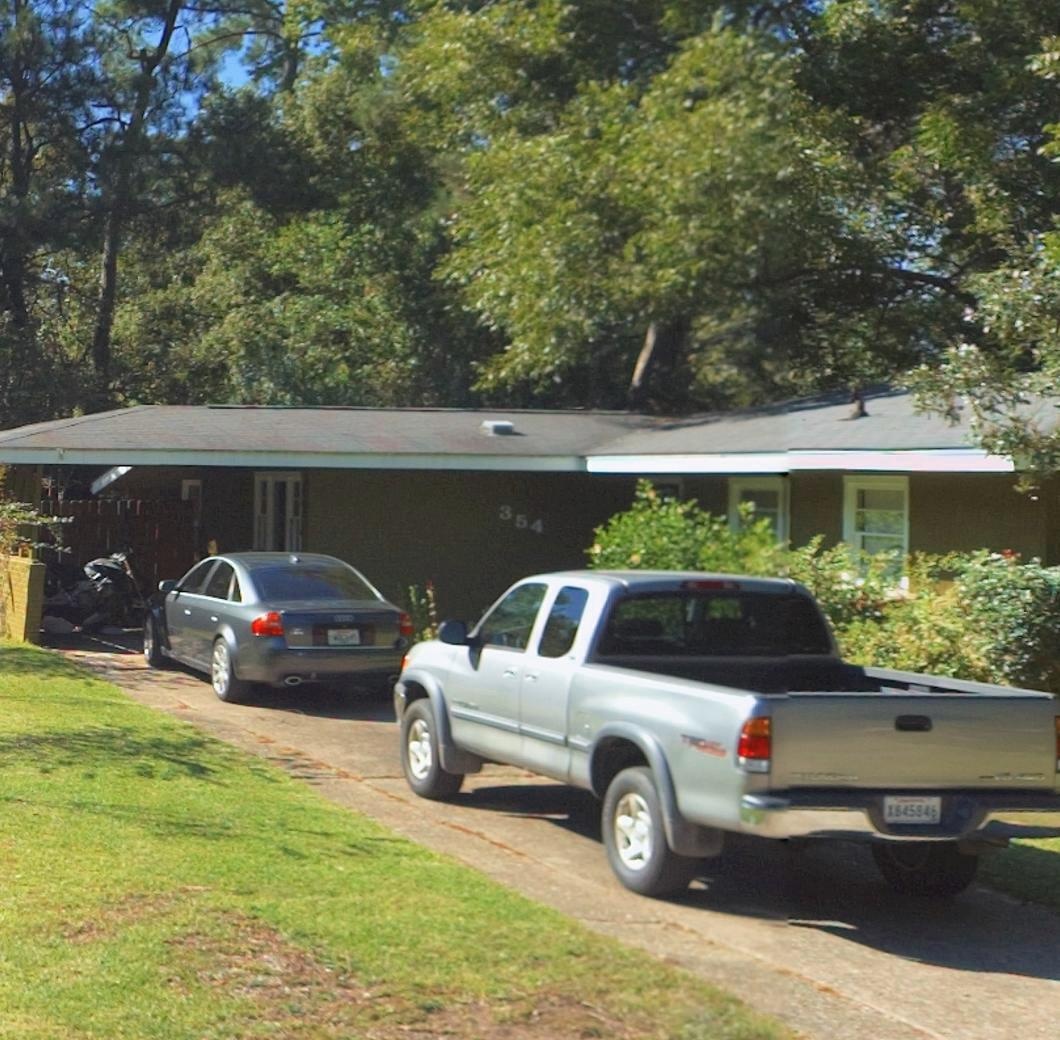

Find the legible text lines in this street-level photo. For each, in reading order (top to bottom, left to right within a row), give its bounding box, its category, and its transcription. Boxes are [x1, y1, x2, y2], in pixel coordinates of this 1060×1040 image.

[499, 504, 543, 534] StreetNumber: 354
[886, 803, 938, 820] None: X645846